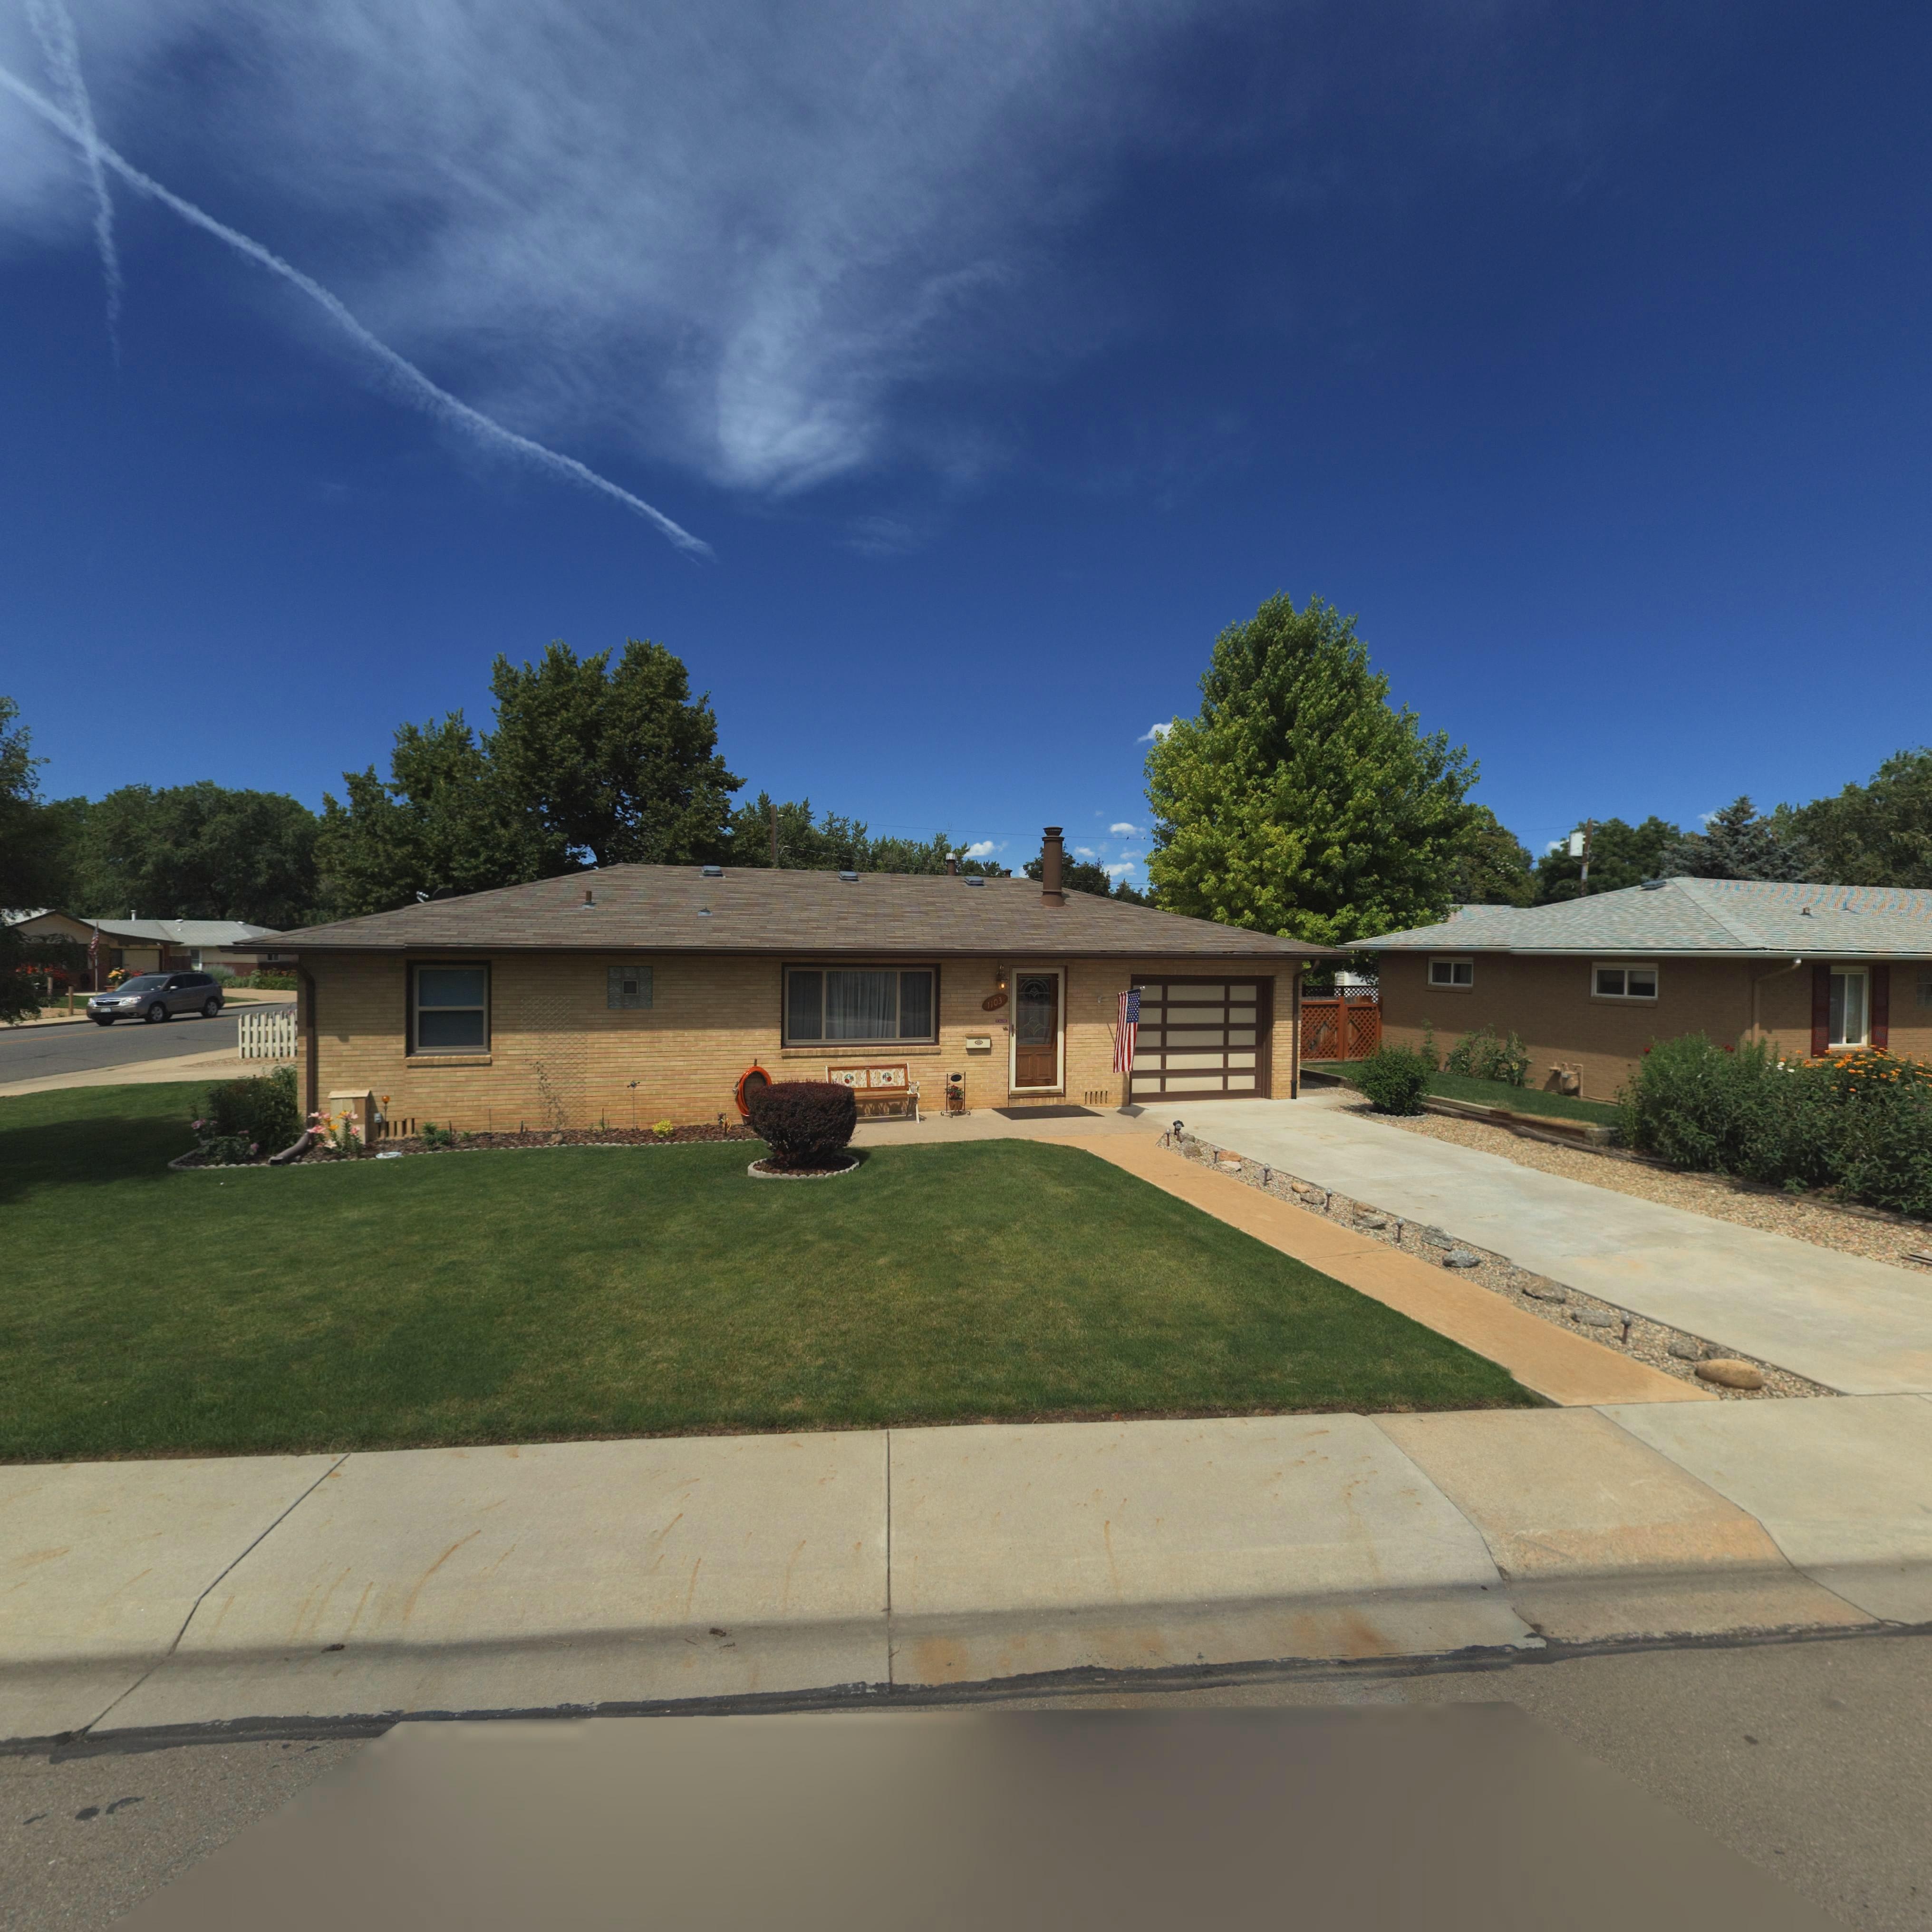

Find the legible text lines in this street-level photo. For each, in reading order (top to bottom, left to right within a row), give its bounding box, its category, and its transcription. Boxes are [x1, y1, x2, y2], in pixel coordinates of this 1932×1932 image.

[987, 995, 1002, 1010] StreetNumber: 1103